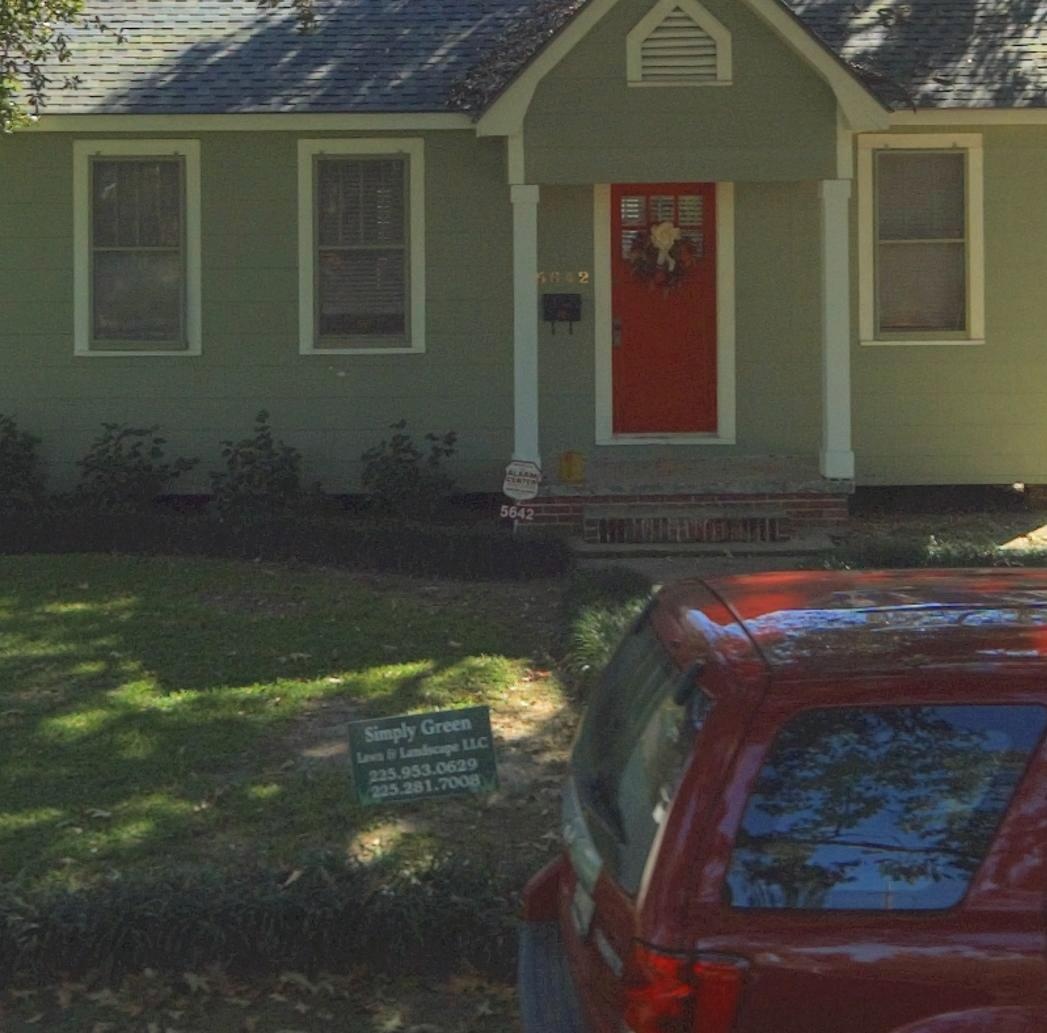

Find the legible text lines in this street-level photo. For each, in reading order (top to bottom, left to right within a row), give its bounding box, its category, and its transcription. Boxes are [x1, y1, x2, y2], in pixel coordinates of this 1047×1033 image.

[534, 269, 590, 286] StreetNumber: 5642
[507, 467, 538, 480] None: ALARM
[498, 503, 536, 521] StreetNumber: 5642
[362, 717, 473, 745] None: Simply Green
[355, 735, 489, 766] None: L*** & La***c*pe LLC
[366, 756, 480, 784] None: 225.953.0629
[369, 772, 483, 800] None: 225.281.7008